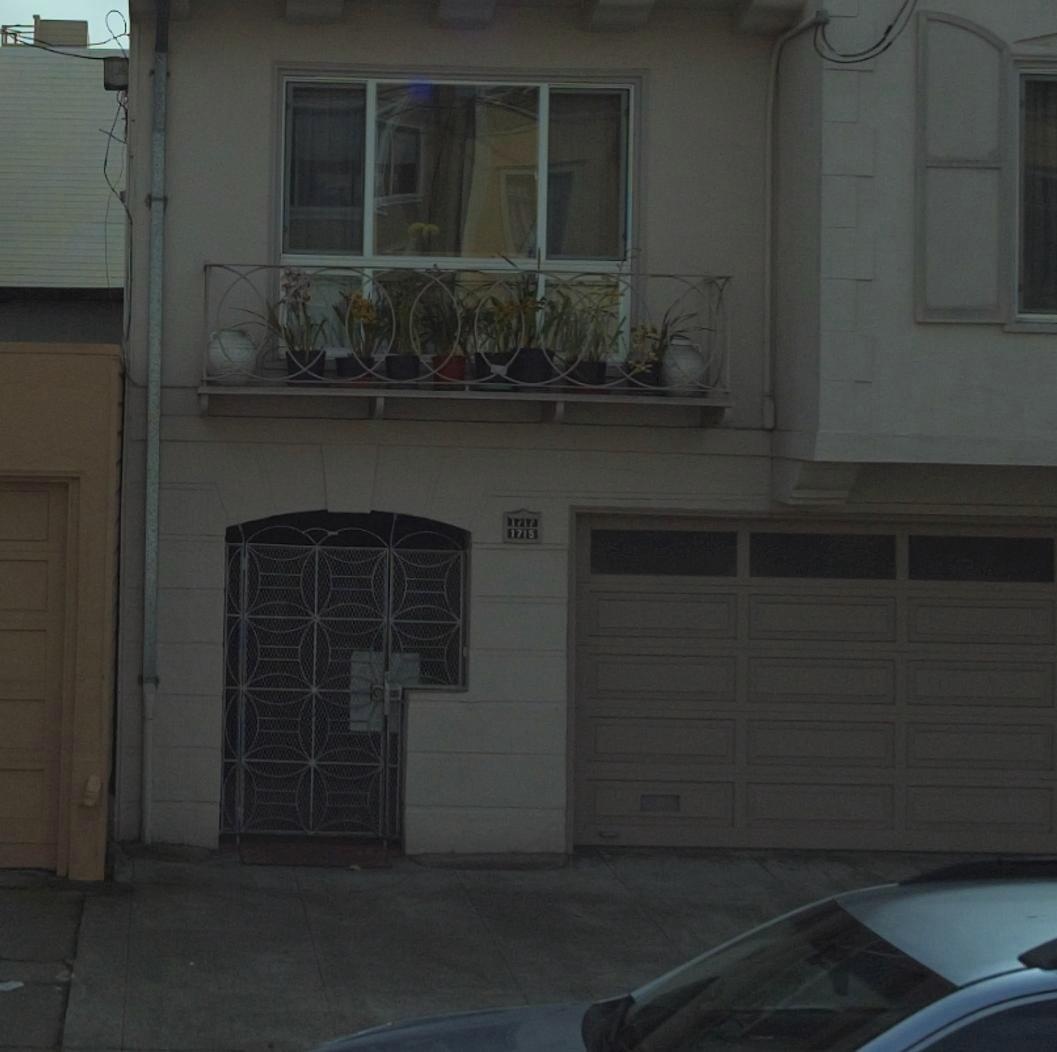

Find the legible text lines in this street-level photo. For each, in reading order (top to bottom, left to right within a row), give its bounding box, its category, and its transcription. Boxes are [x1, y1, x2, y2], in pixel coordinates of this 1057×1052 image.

[507, 516, 537, 528] StreetNumber: 1717
[507, 528, 537, 541] StreetNumber: 1715